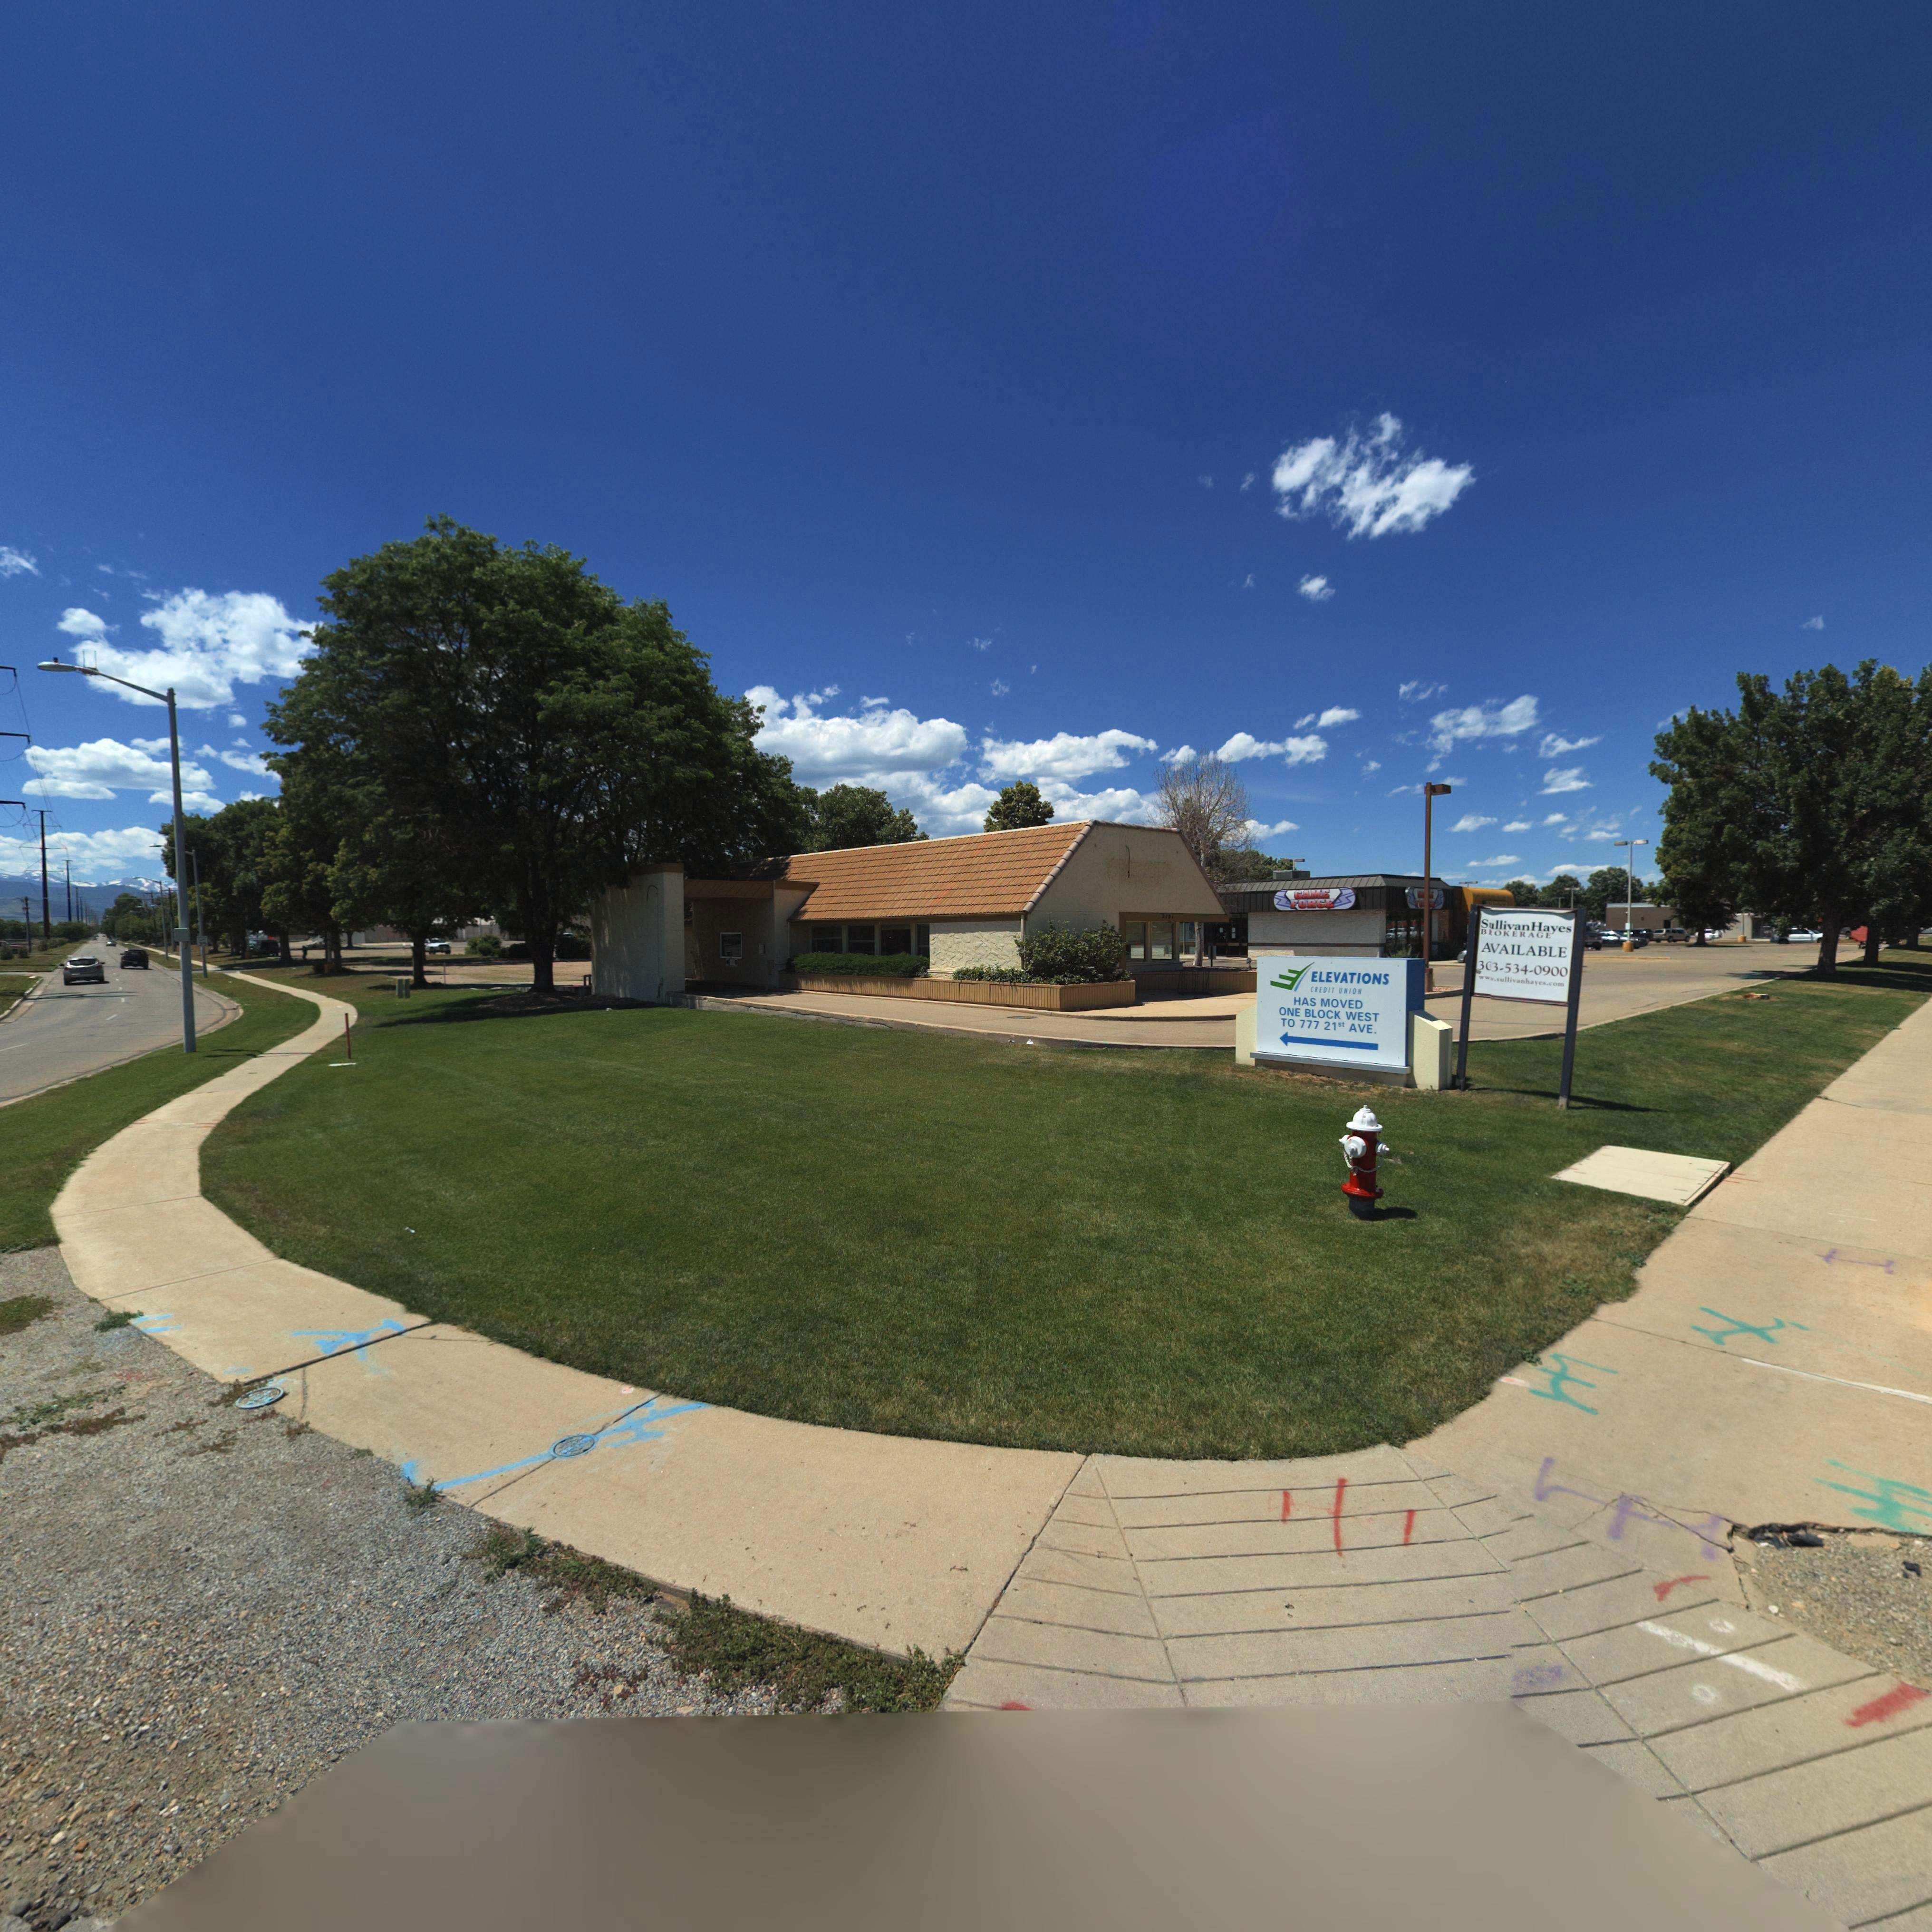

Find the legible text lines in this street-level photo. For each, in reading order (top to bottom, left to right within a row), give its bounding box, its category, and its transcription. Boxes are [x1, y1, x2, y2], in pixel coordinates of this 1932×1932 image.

[1294, 889, 1330, 899] BusinessName: GAME
[1289, 898, 1334, 909] BusinessName: FORCE
[1414, 898, 1436, 908] BusinessName: F****
[1161, 913, 1174, 919] StreetNumber: 2101